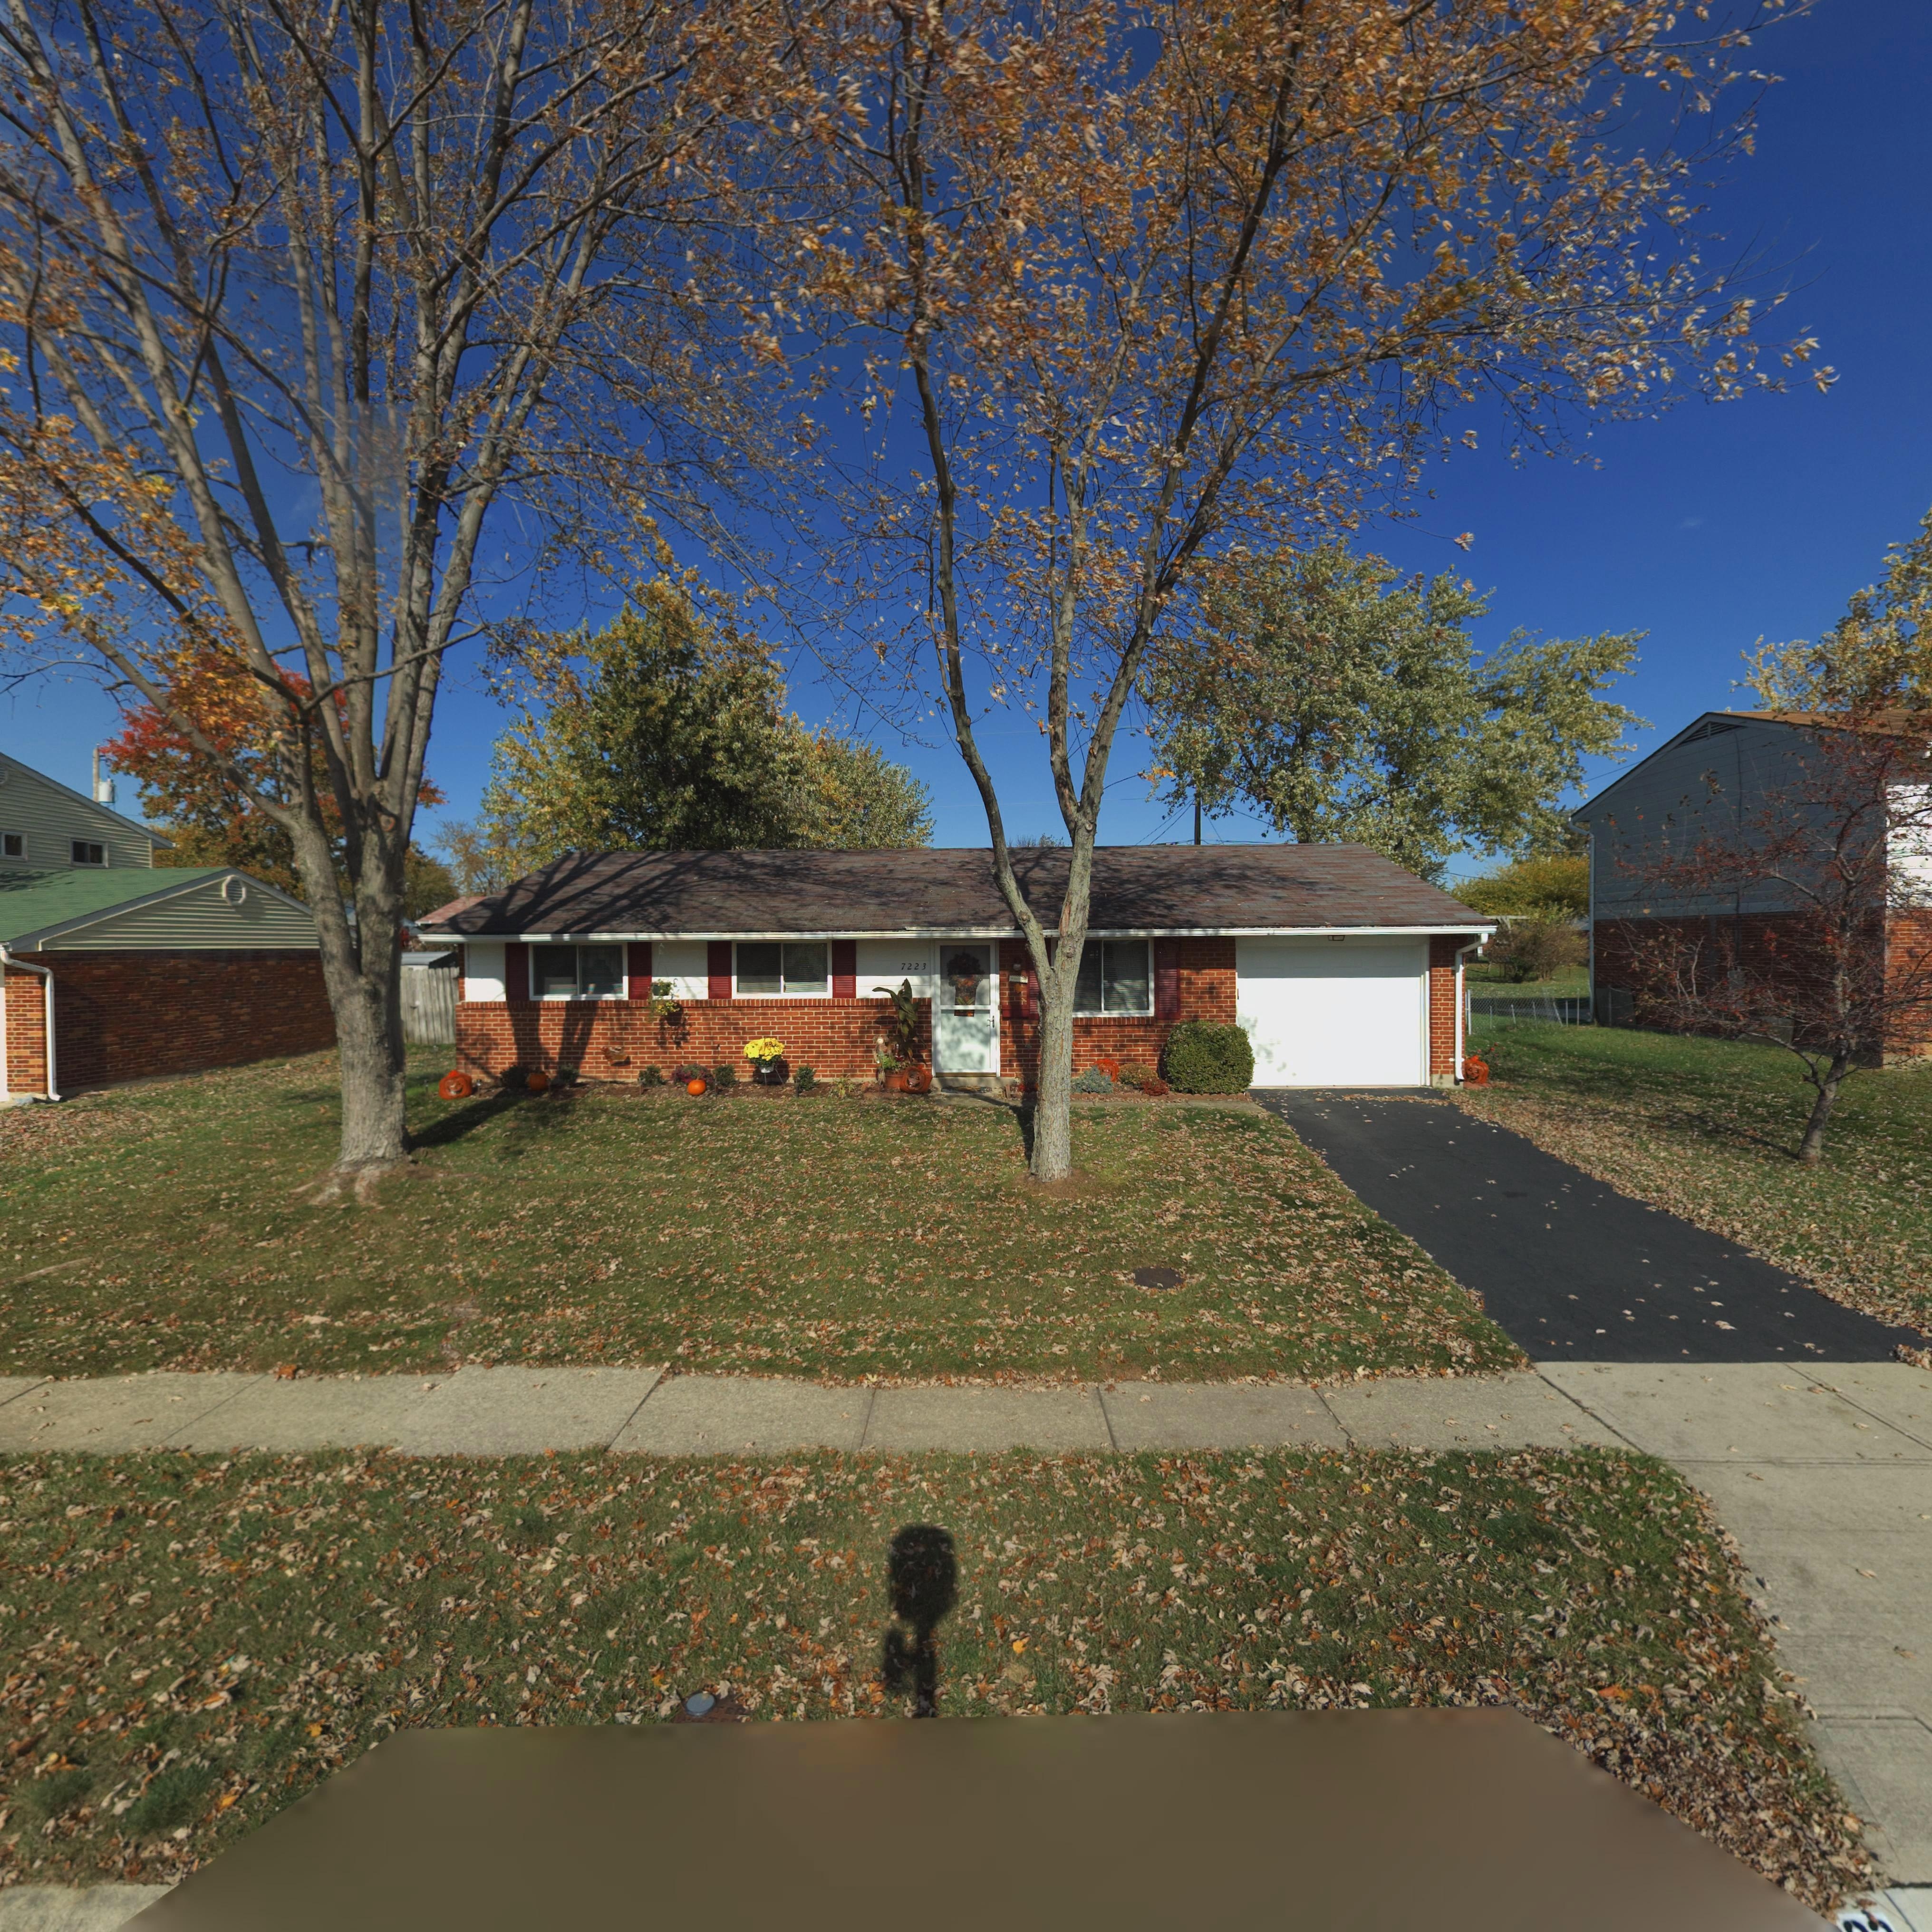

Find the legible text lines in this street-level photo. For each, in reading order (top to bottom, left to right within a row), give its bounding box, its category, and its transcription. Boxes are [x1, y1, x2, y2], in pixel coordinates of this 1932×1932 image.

[900, 962, 927, 971] StreetNumber: 7223